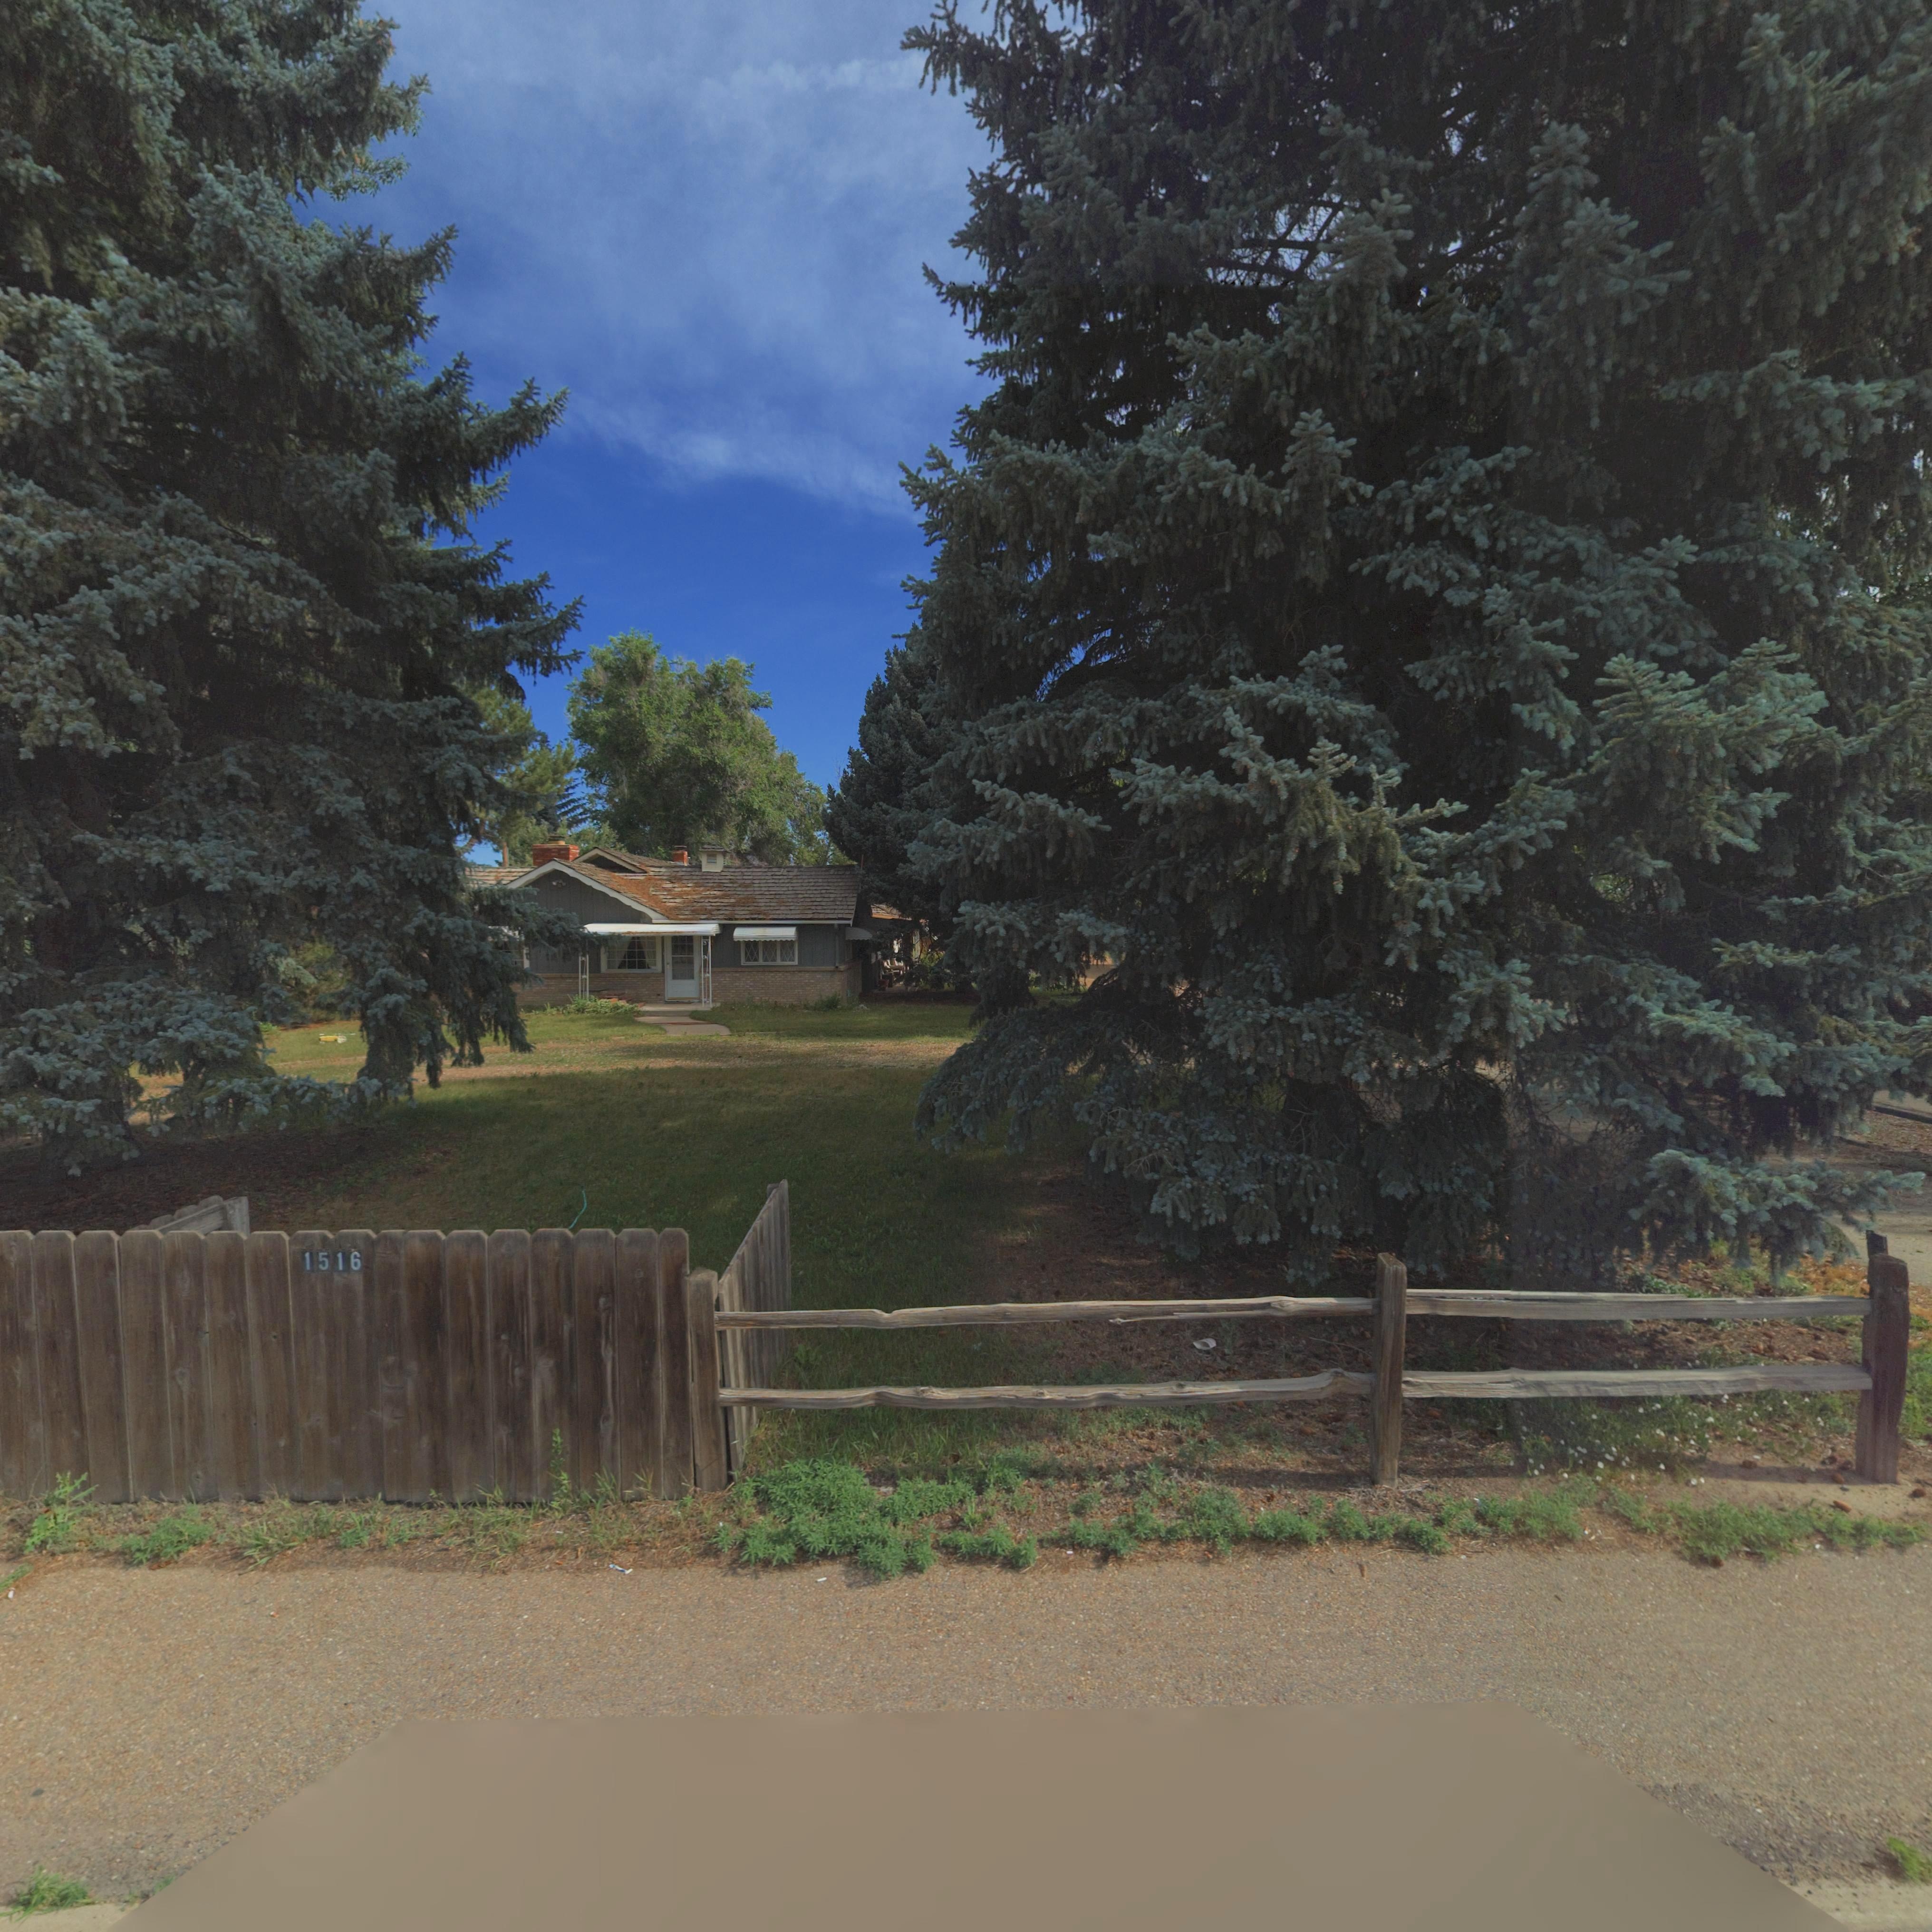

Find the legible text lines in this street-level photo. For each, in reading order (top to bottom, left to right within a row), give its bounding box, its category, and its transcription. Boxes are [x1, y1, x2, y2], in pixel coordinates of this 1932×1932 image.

[303, 1250, 362, 1271] StreetNumber: 1516